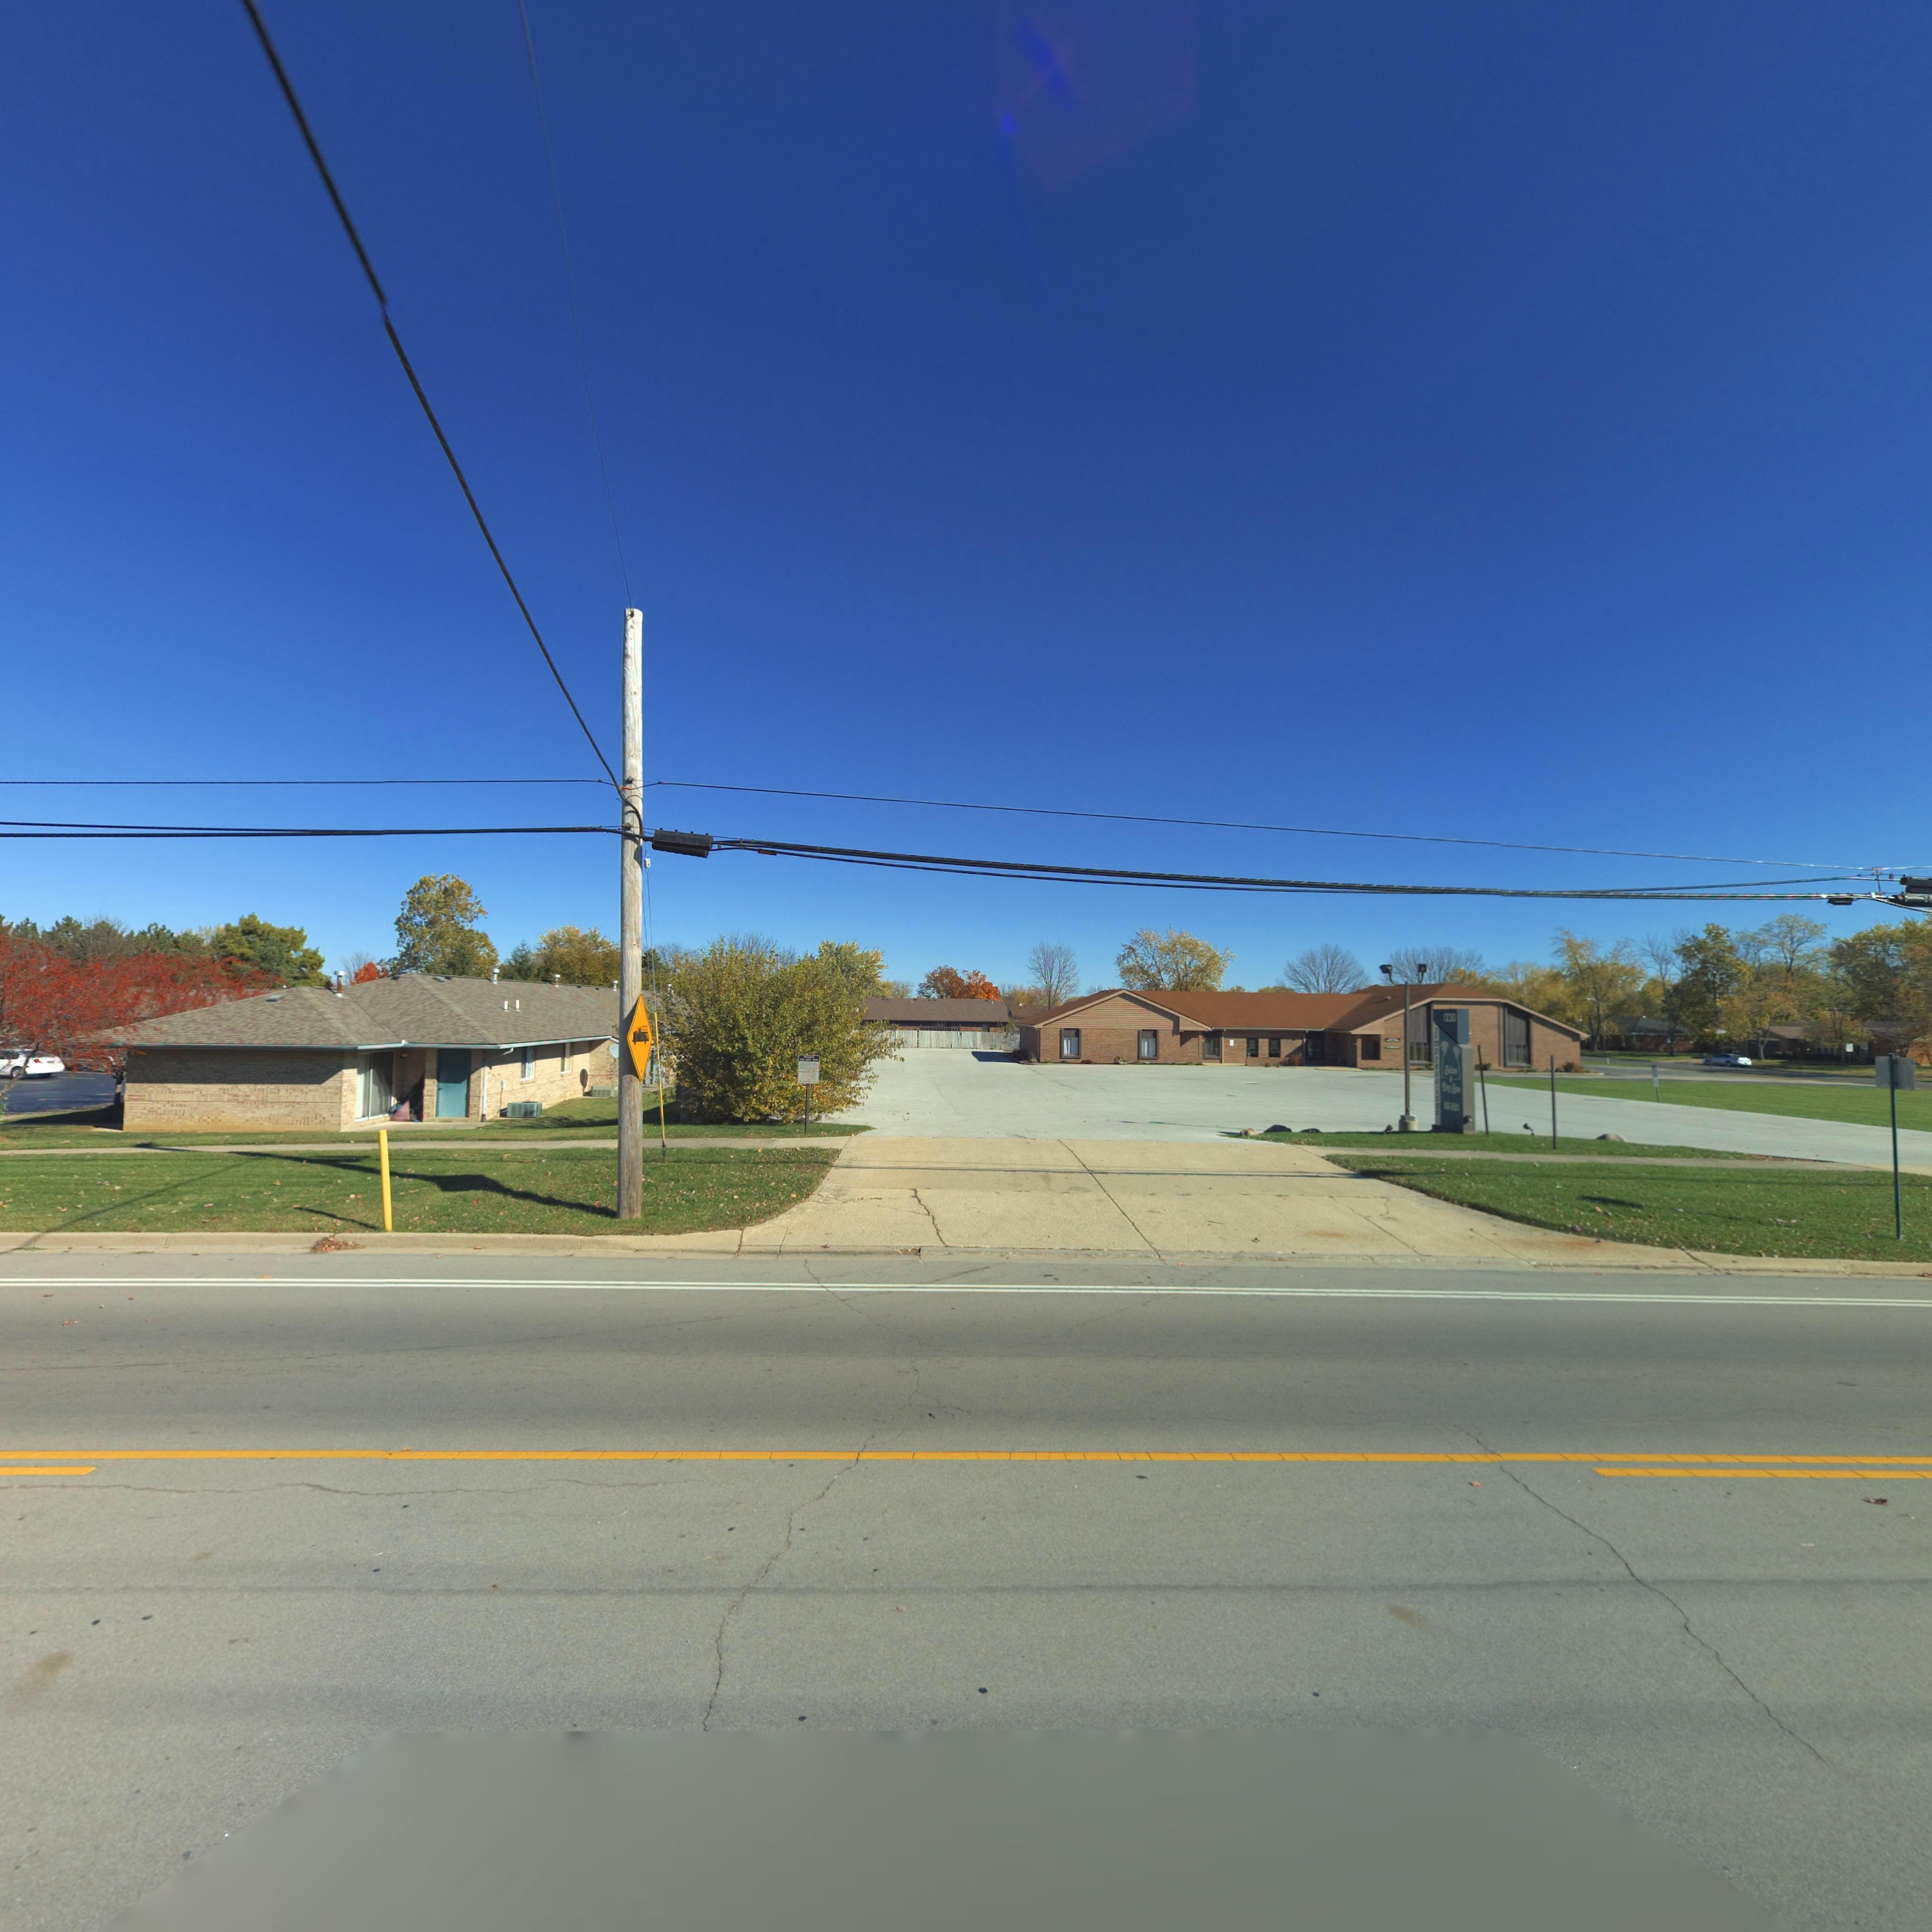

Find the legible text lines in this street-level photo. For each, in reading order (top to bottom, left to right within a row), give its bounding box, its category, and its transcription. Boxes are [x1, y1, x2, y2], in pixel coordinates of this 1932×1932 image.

[1442, 1012, 1458, 1023] StreetNumber: 1230
[1432, 1026, 1440, 1117] BusinessName: Impressions